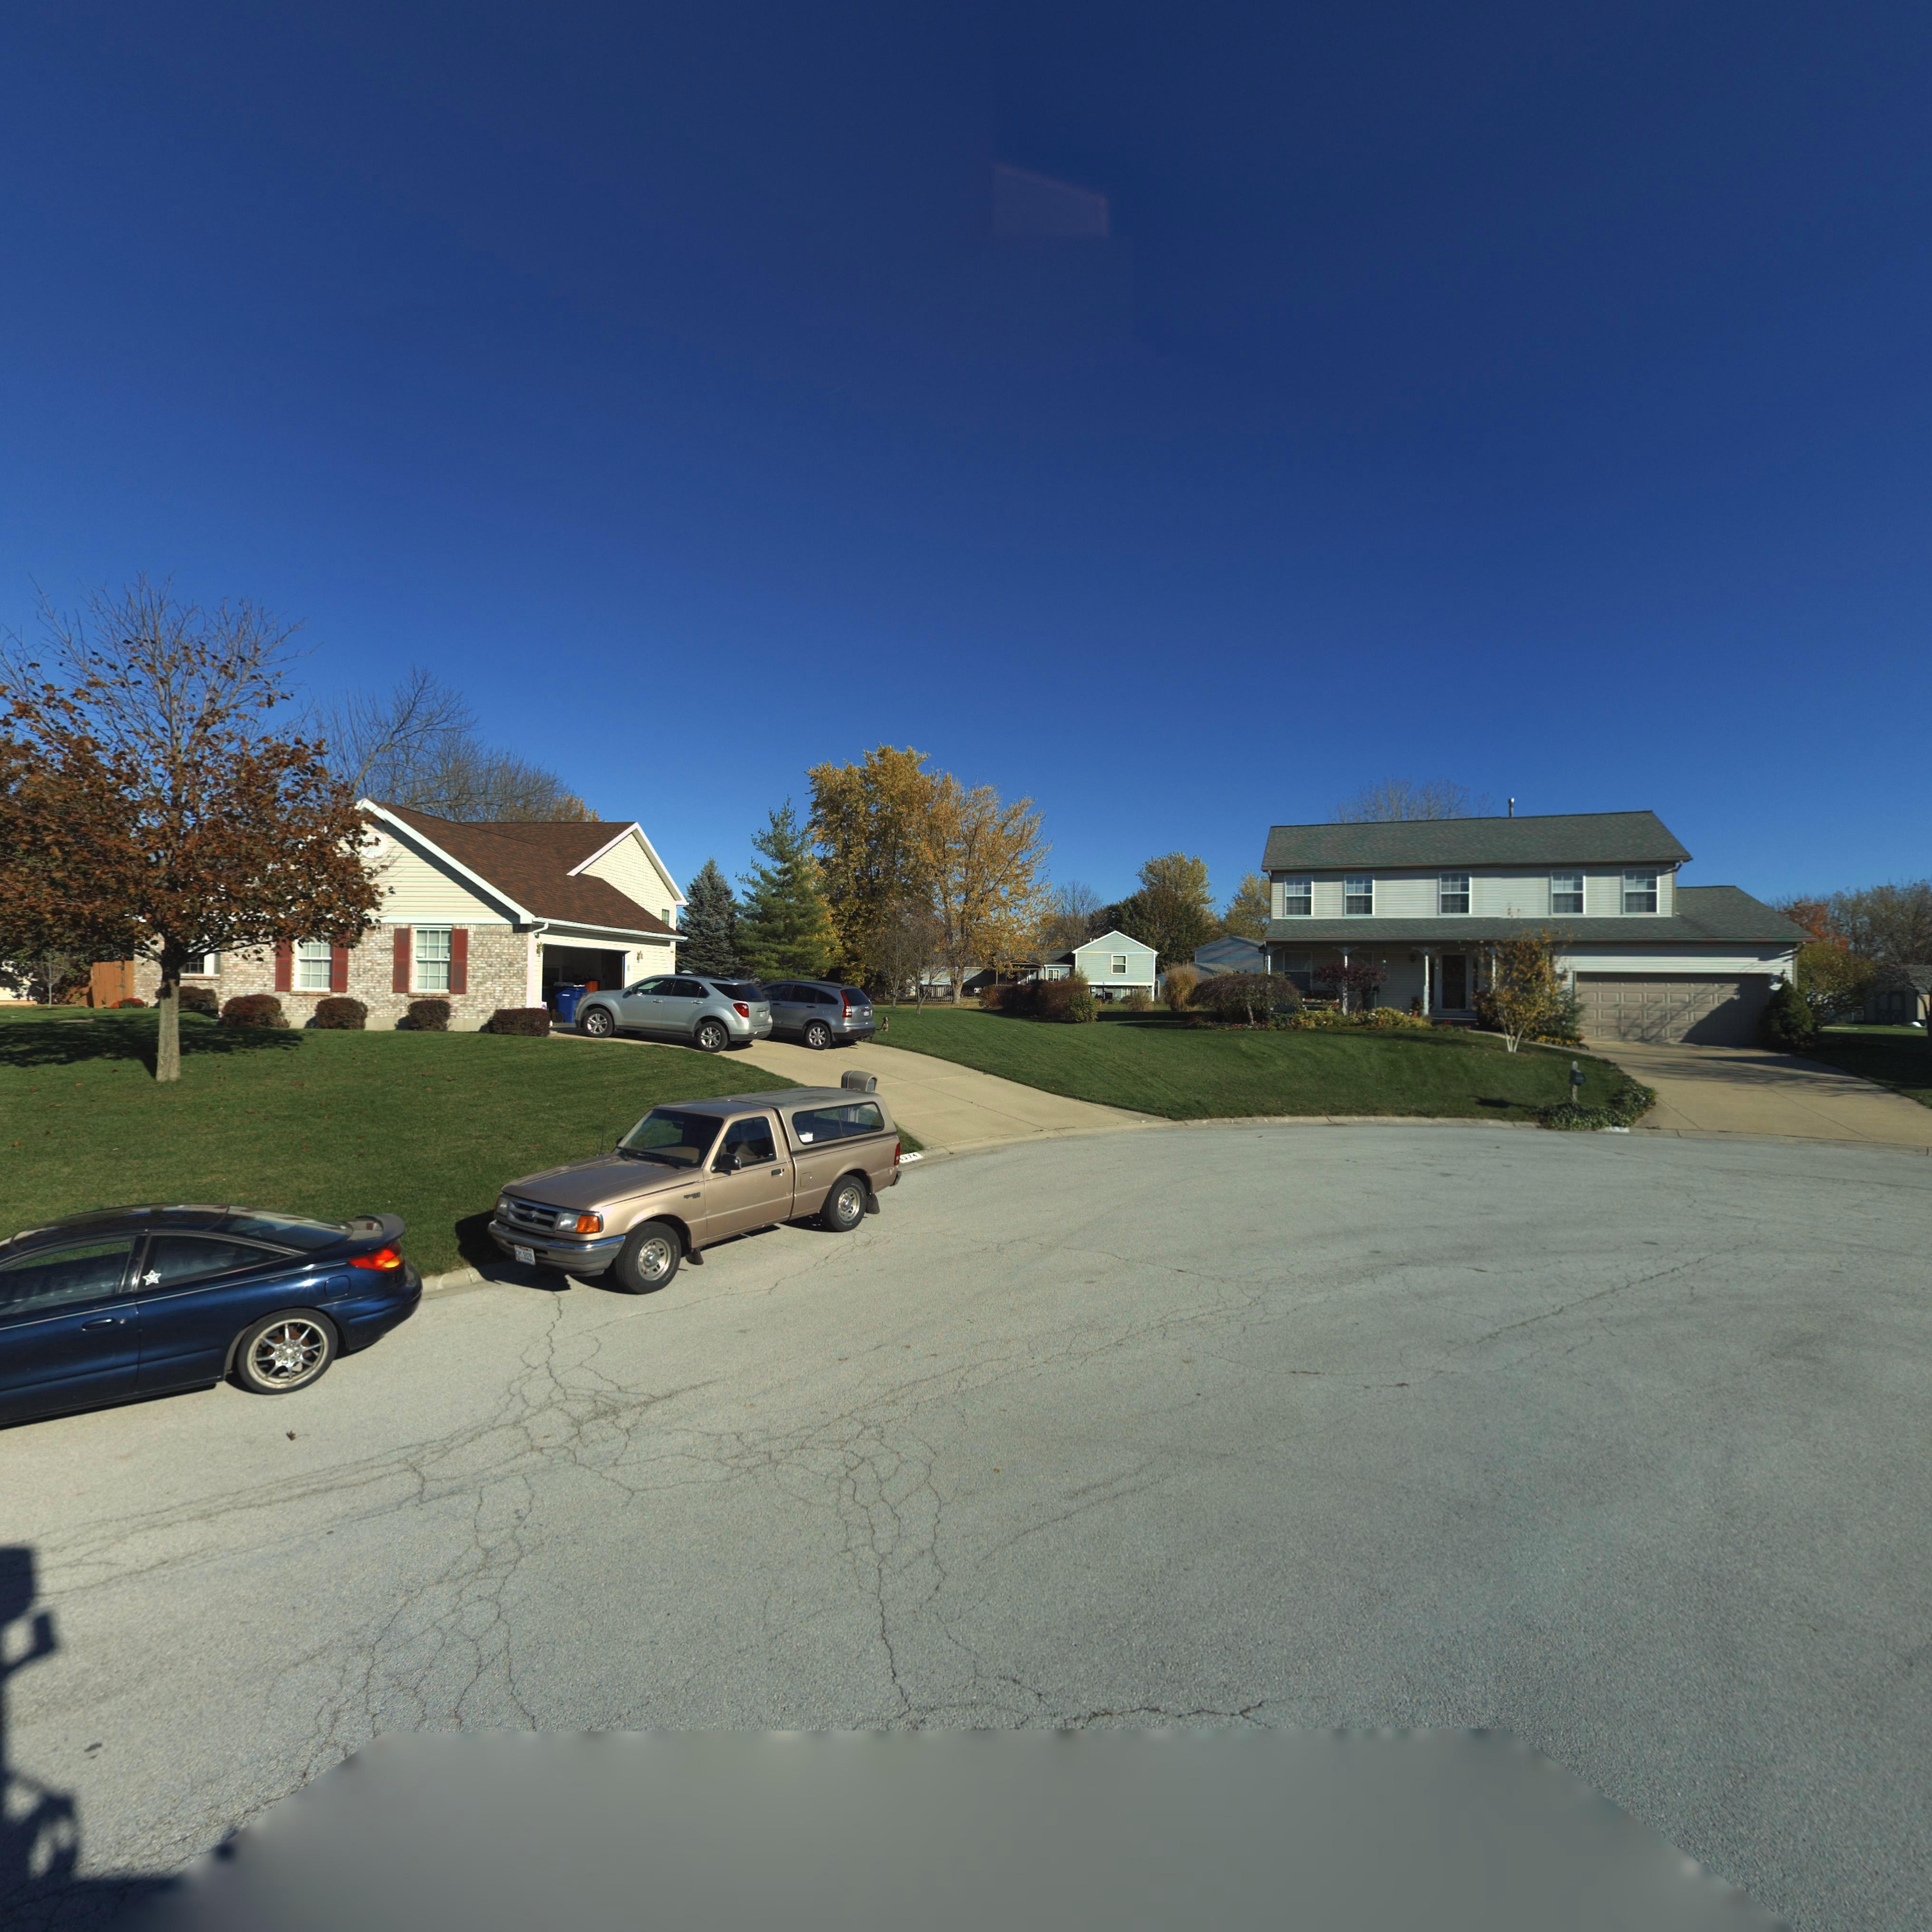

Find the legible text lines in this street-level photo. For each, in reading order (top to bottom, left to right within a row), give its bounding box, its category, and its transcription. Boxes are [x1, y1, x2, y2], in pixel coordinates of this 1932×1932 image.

[901, 1152, 919, 1160] StreetNumber: 374